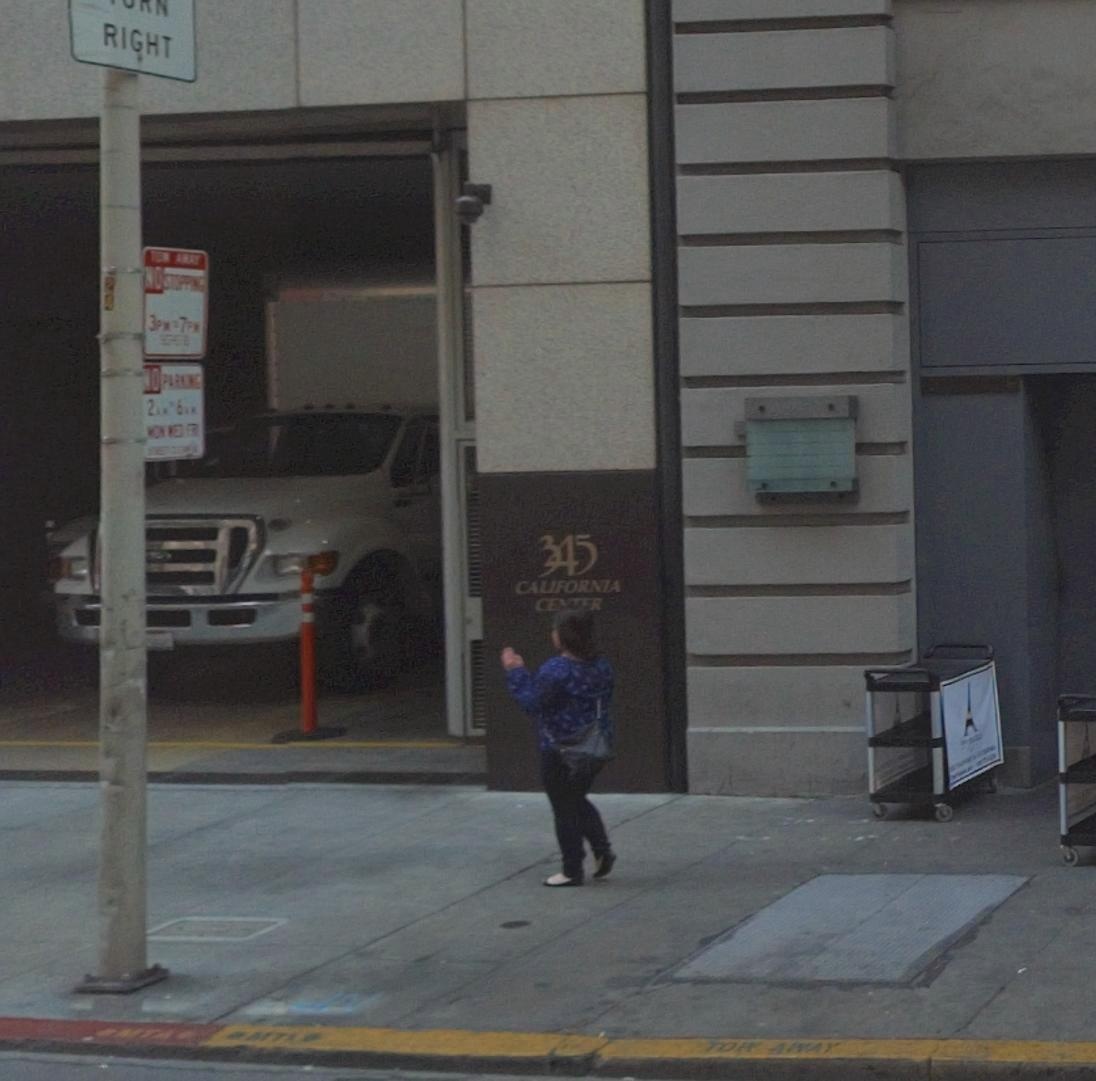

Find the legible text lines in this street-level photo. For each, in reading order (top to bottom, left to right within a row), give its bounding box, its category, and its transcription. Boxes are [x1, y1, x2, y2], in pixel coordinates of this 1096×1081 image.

[99, 19, 174, 62] None: RIGHT
[148, 248, 201, 267] None: TOW-AWAY
[144, 264, 206, 294] None: NO STOPPING
[145, 310, 201, 335] None: 3PM-7PM
[140, 365, 202, 394] None: NO PARKING
[144, 397, 200, 419] None: 2AM*6AM
[145, 420, 202, 442] None: MON WED FRI
[534, 531, 601, 579] StreetNumber: 345
[513, 577, 622, 595] StreetName: CALIFORNIA
[533, 596, 602, 613] None: CE***R